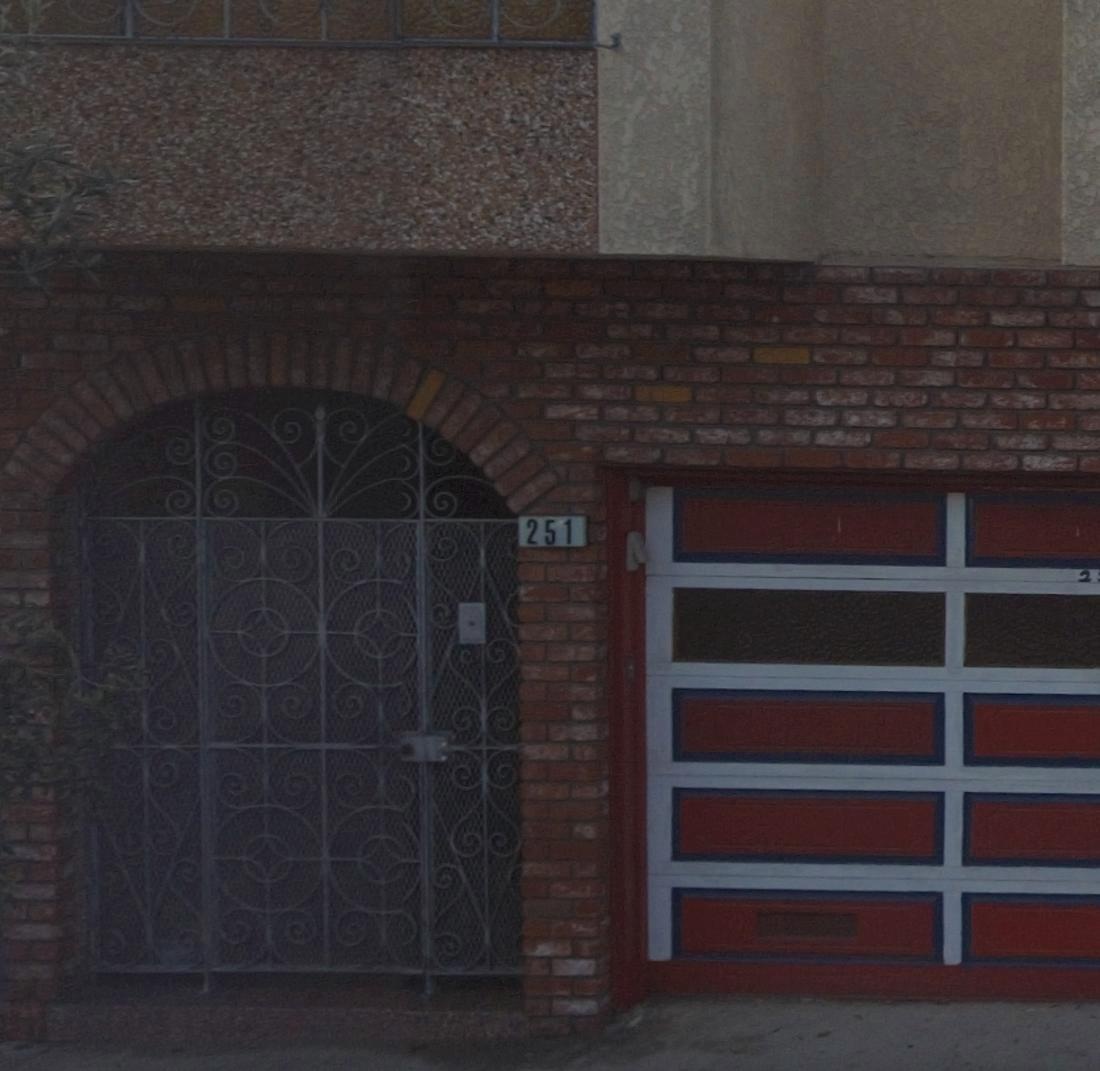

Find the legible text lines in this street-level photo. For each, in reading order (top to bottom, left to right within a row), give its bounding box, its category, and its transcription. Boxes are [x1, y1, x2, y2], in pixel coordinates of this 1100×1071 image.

[525, 516, 575, 546] StreetNumber: 251
[1077, 568, 1094, 584] StreetNumber: 2